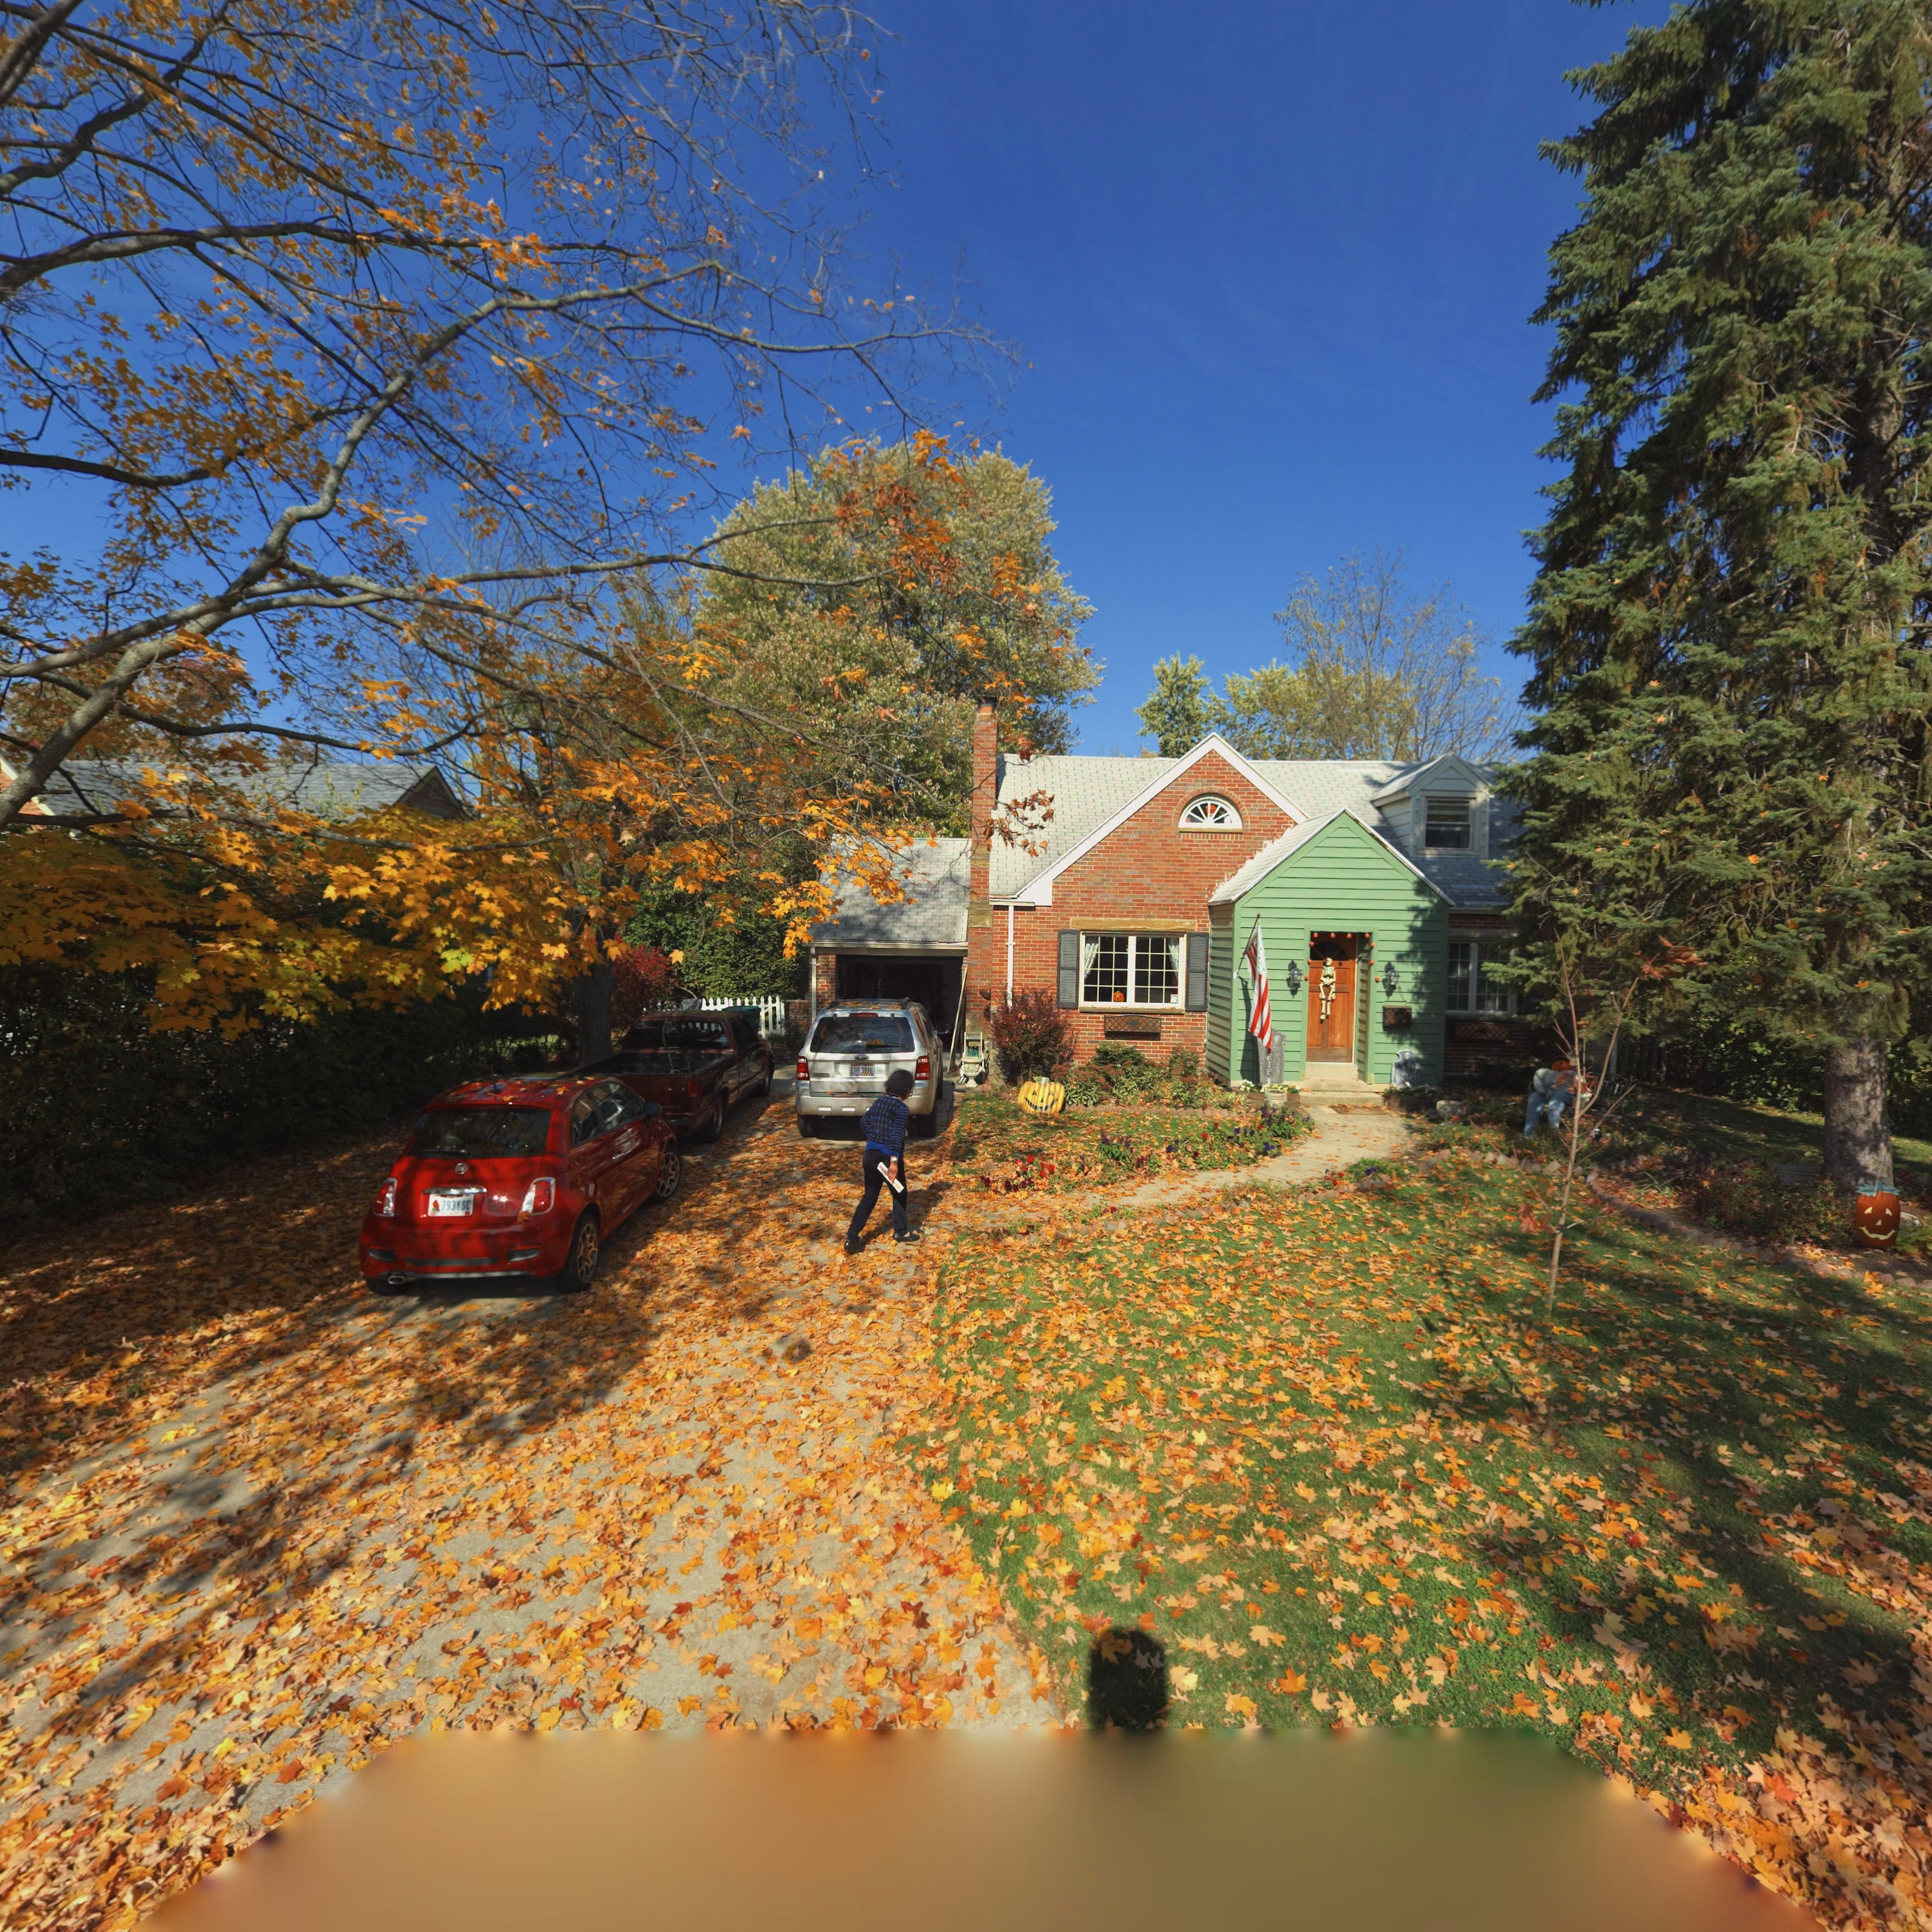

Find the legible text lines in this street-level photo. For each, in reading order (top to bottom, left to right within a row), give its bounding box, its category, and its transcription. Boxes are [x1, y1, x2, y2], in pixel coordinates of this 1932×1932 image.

[850, 1066, 873, 1073] None: EQB*3*46
[1266, 1053, 1273, 1076] None: RIP
[441, 1200, 472, 1211] None: 793YSC